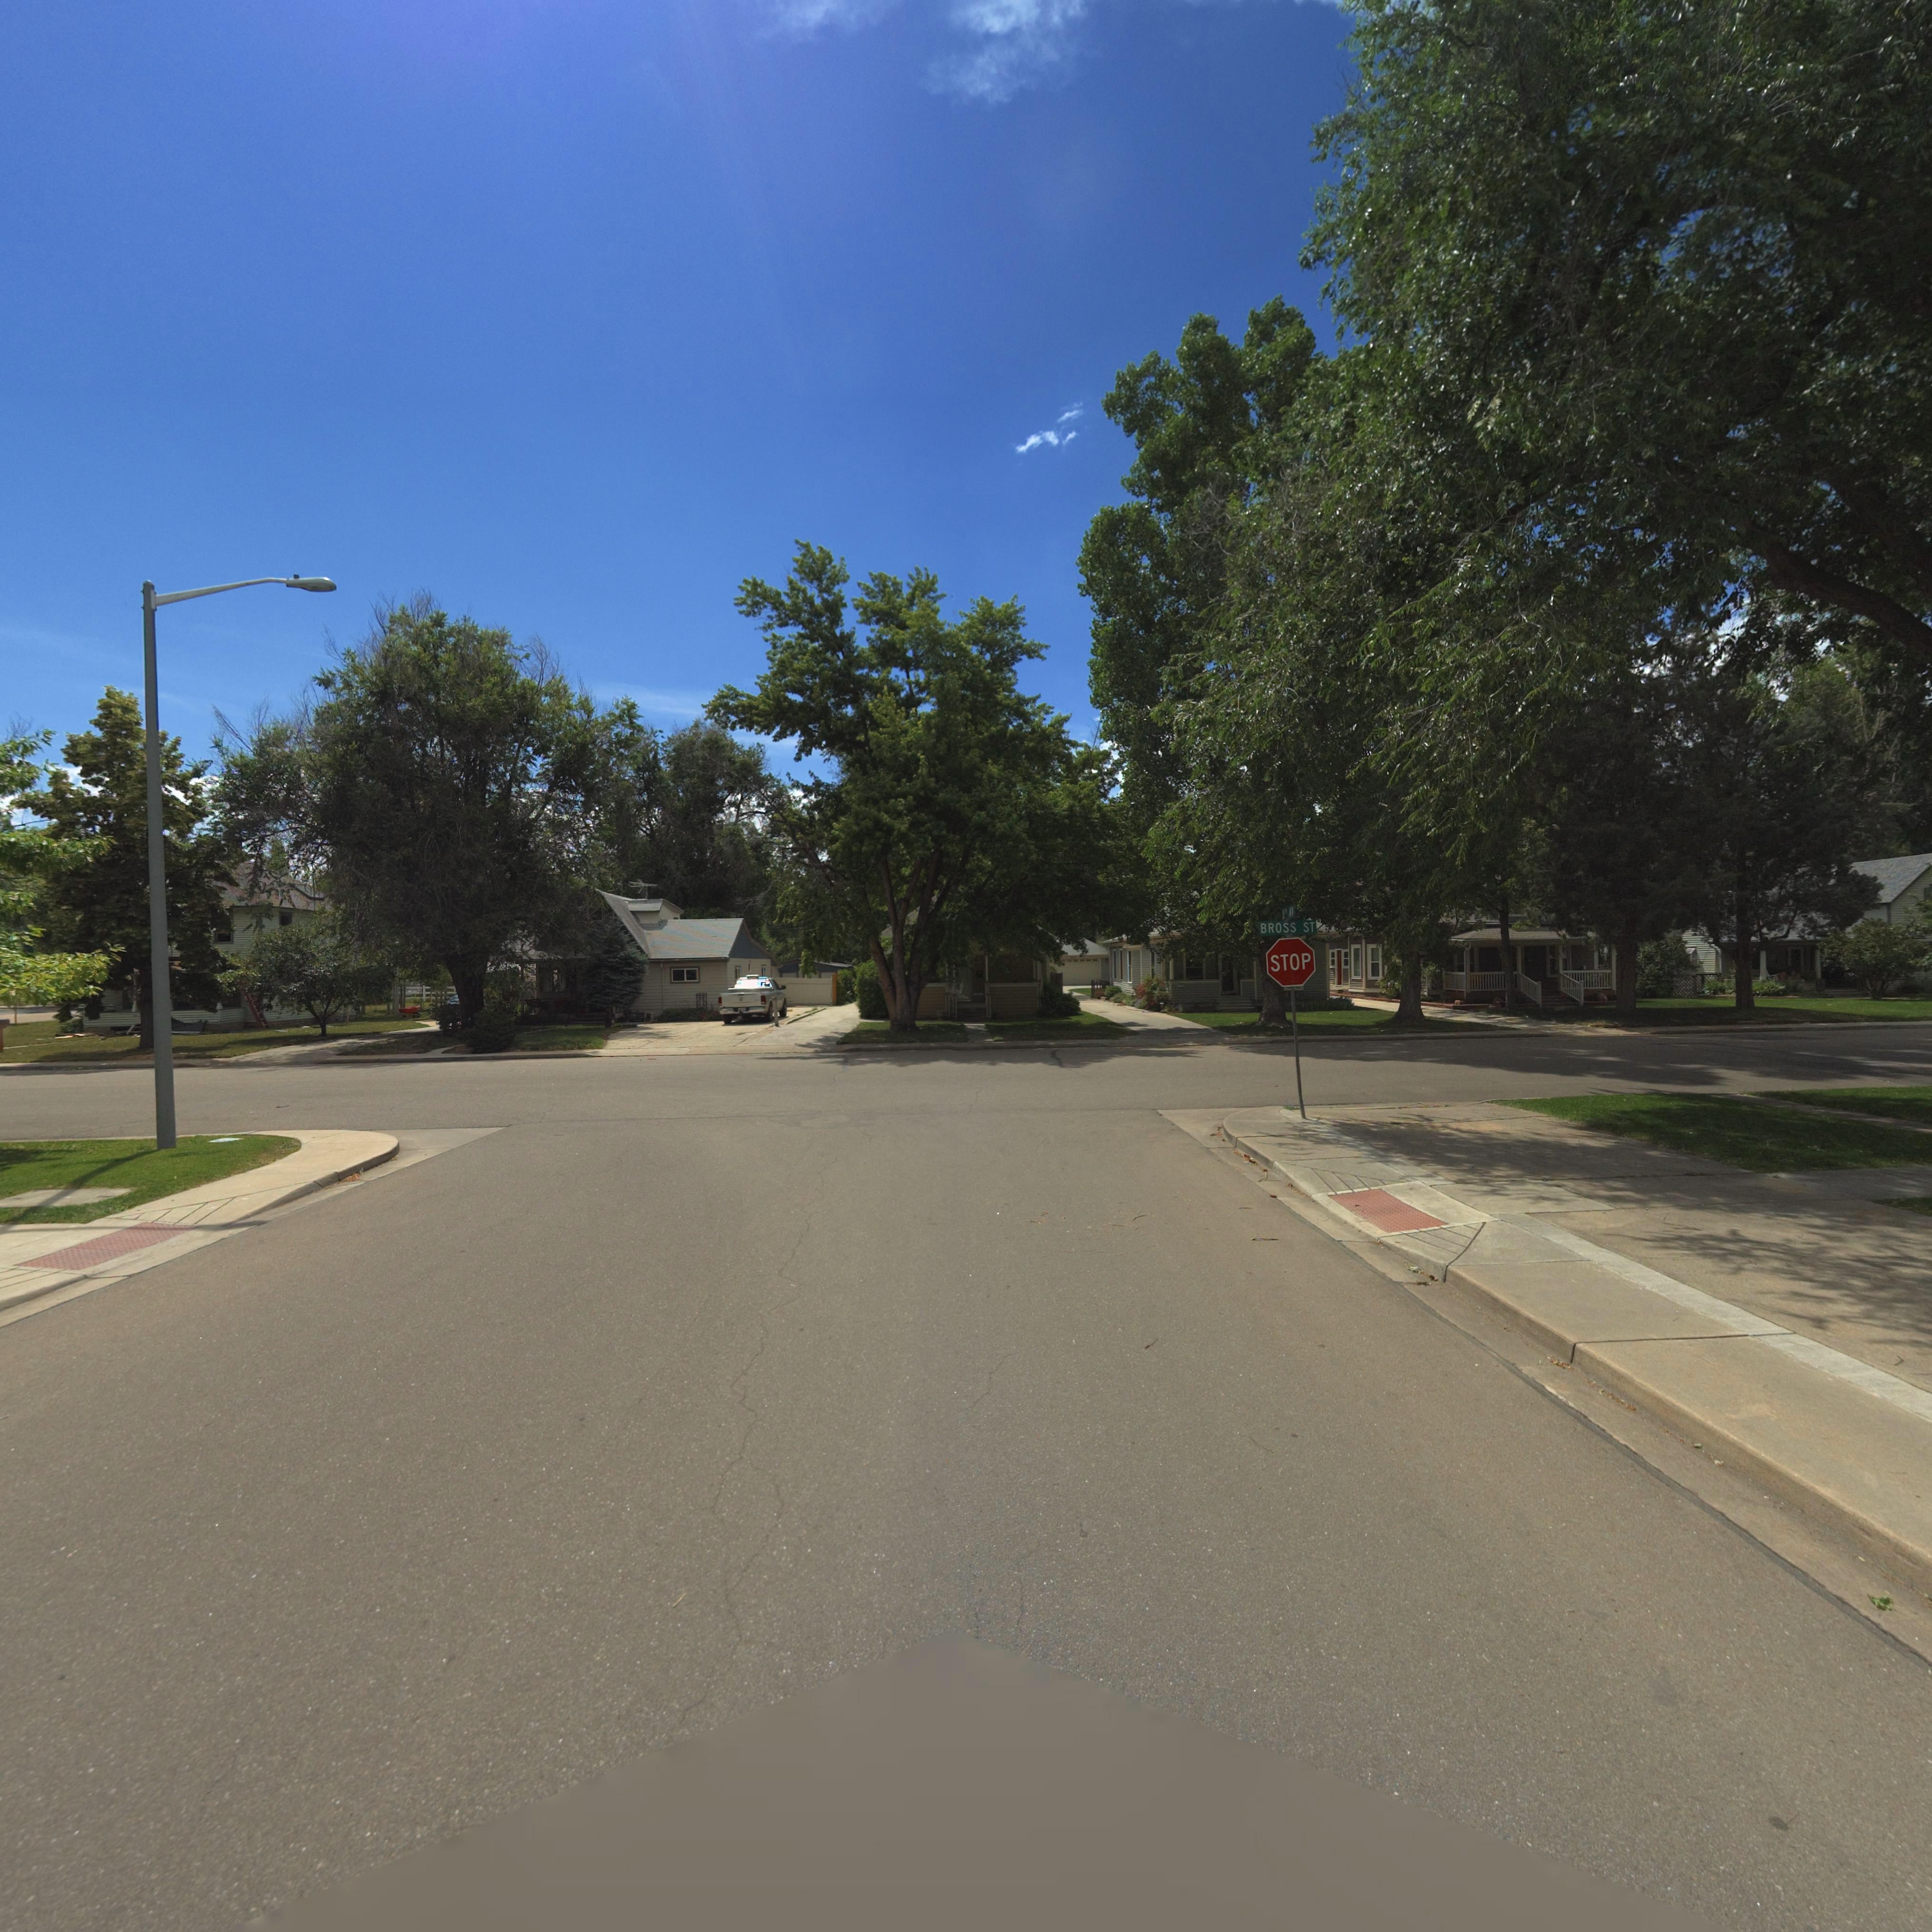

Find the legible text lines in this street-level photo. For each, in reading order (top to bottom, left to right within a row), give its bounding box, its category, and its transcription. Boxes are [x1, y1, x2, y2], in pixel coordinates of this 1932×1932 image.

[1282, 905, 1294, 919] StreetName: 8** AV
[1260, 921, 1315, 933] StreetName: BROSS ST